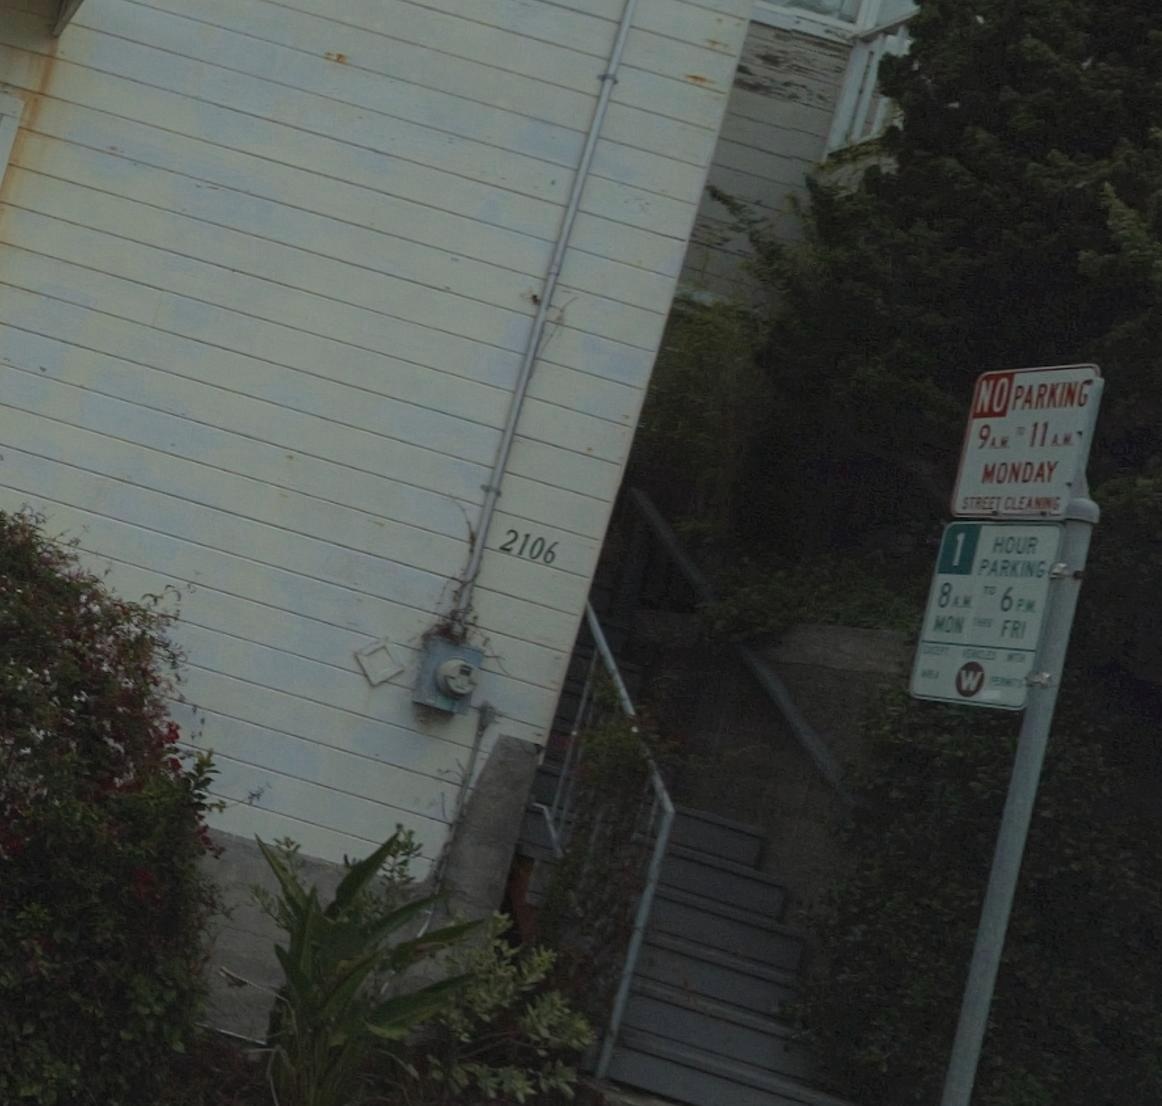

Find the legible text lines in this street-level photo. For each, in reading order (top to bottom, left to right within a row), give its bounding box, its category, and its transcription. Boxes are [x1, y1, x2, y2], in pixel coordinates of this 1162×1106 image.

[972, 375, 1089, 416] None: NO PARKING
[976, 422, 1013, 450] None: 9 A.M.
[1026, 418, 1076, 449] None: 11 A.M.
[979, 459, 1062, 485] None: MONDAY
[959, 495, 1063, 512] None: STREET CLEANING
[497, 524, 563, 567] StreetNumber: 2106
[949, 531, 966, 569] None: 1
[990, 534, 1040, 557] None: HOUR
[974, 557, 1049, 580] None: PARKING
[935, 581, 974, 612] None: 8 A.M.
[999, 583, 1038, 615] None: 6 A.M.
[930, 612, 968, 638] None: MON
[998, 617, 1029, 643] None: FRI
[958, 667, 986, 694] None: W